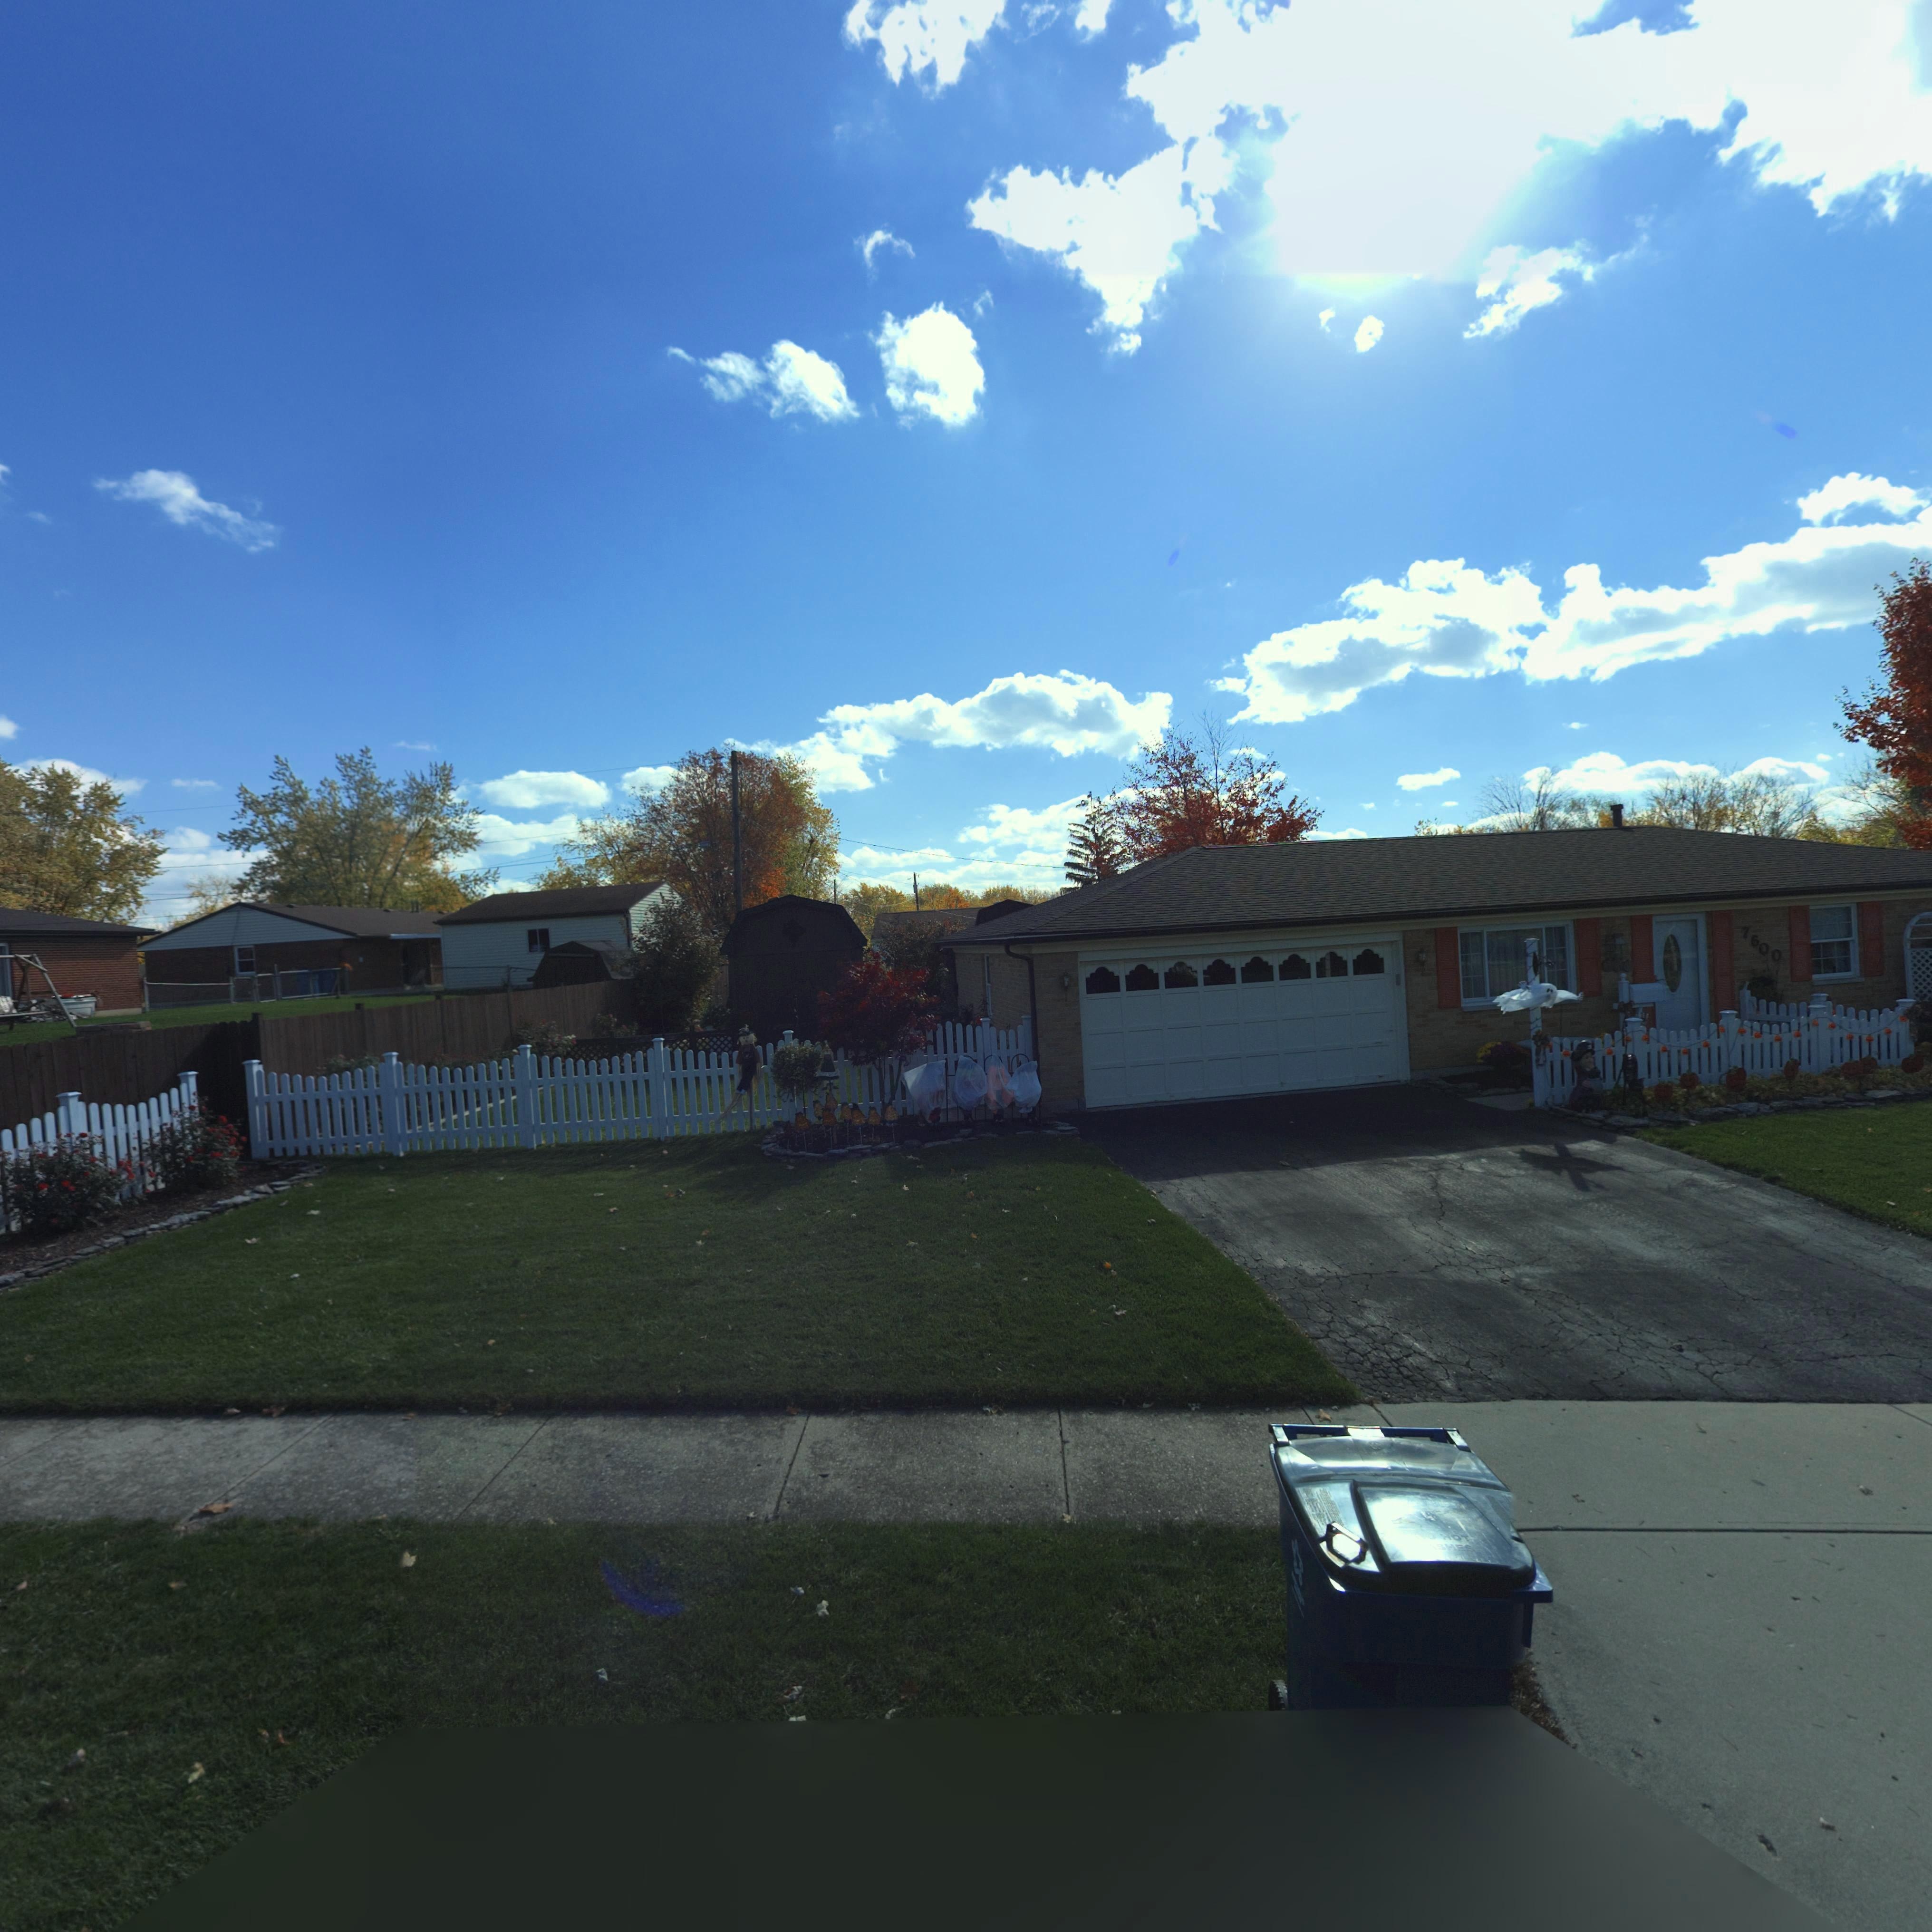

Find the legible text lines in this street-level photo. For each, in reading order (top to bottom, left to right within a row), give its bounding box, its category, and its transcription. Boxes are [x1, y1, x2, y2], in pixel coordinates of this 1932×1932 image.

[1741, 926, 1783, 963] StreetNumber: 7600